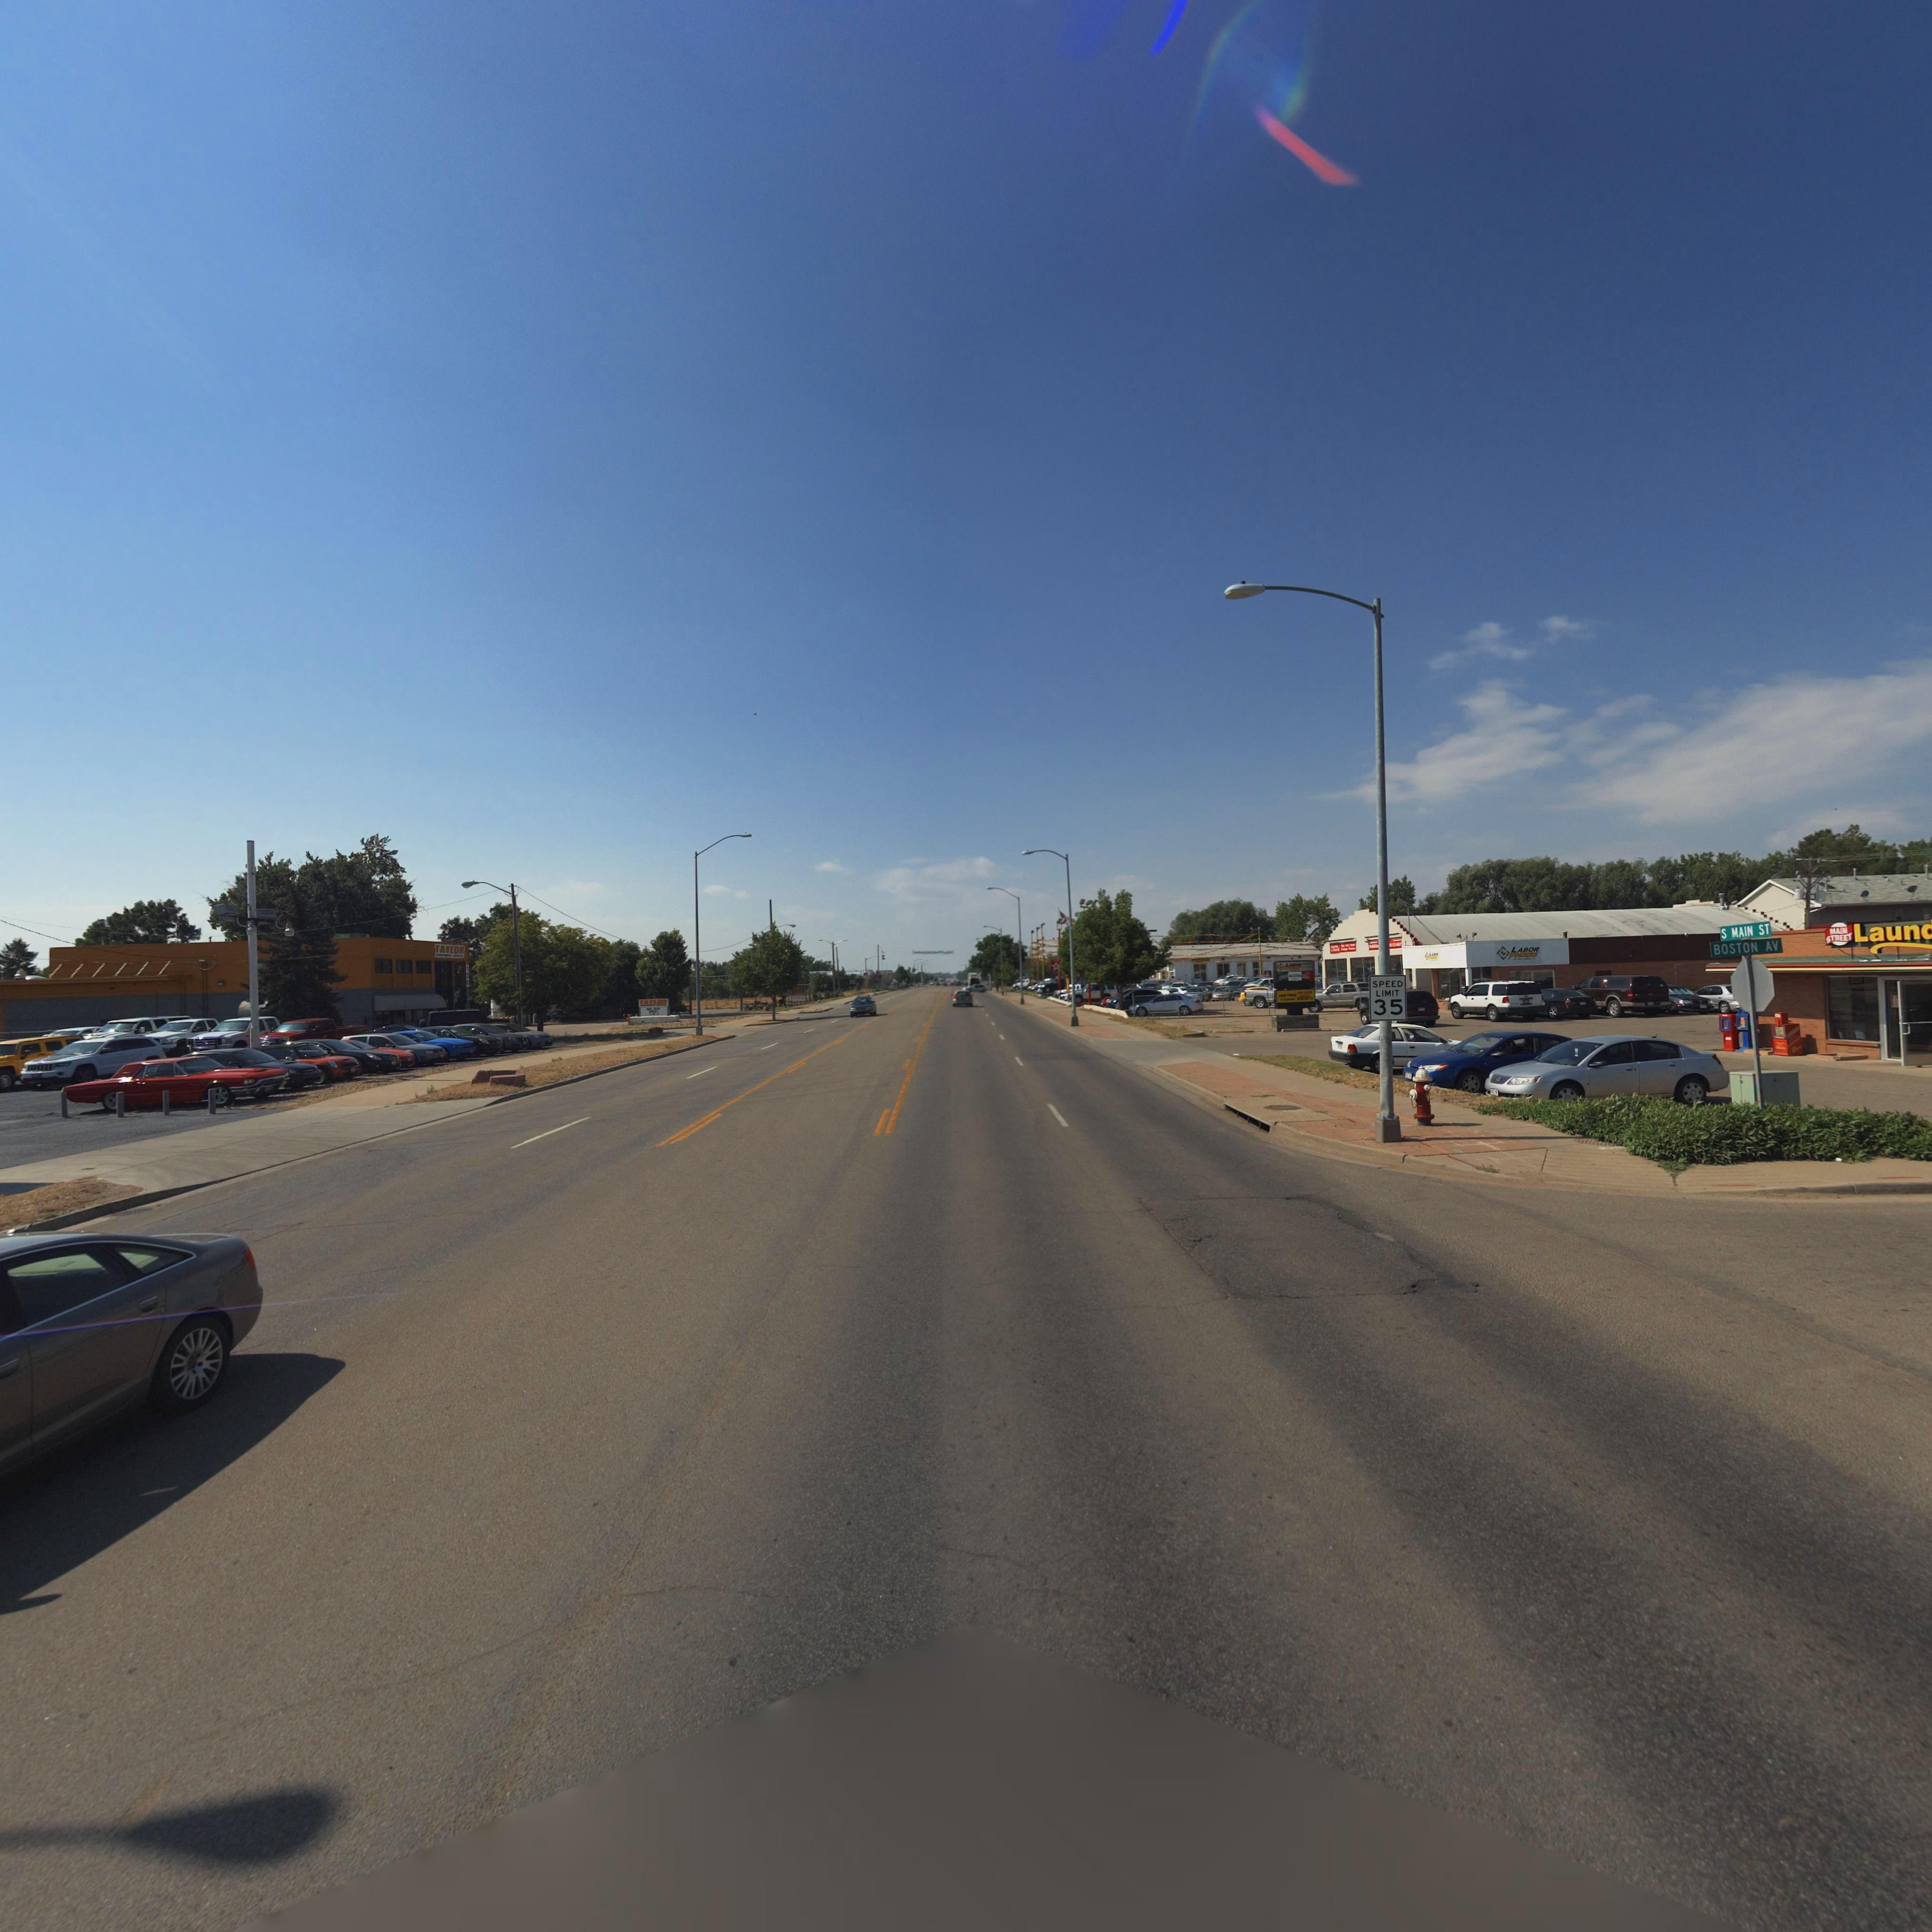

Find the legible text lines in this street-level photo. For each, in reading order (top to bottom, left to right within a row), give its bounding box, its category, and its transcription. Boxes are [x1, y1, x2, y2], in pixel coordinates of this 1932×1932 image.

[1720, 923, 1769, 939] StreetName: S MAIN ST
[1829, 927, 1847, 934] BusinessName: MAIN
[1826, 931, 1853, 944] BusinessName: ST*EET
[1853, 923, 1921, 943] BusinessName: Laun
[435, 945, 464, 954] BusinessName: TAYLOR
[1511, 946, 1539, 952] BusinessName: LABOR
[1713, 939, 1778, 955] StreetName: BOSTON AV
[1508, 952, 1538, 959] BusinessName: FINDERS
[1285, 963, 1301, 966] BusinessName: LA***
[466, 966, 469, 985] StreetNumber: 130
[639, 999, 667, 1005] BusinessName: TAY*O*